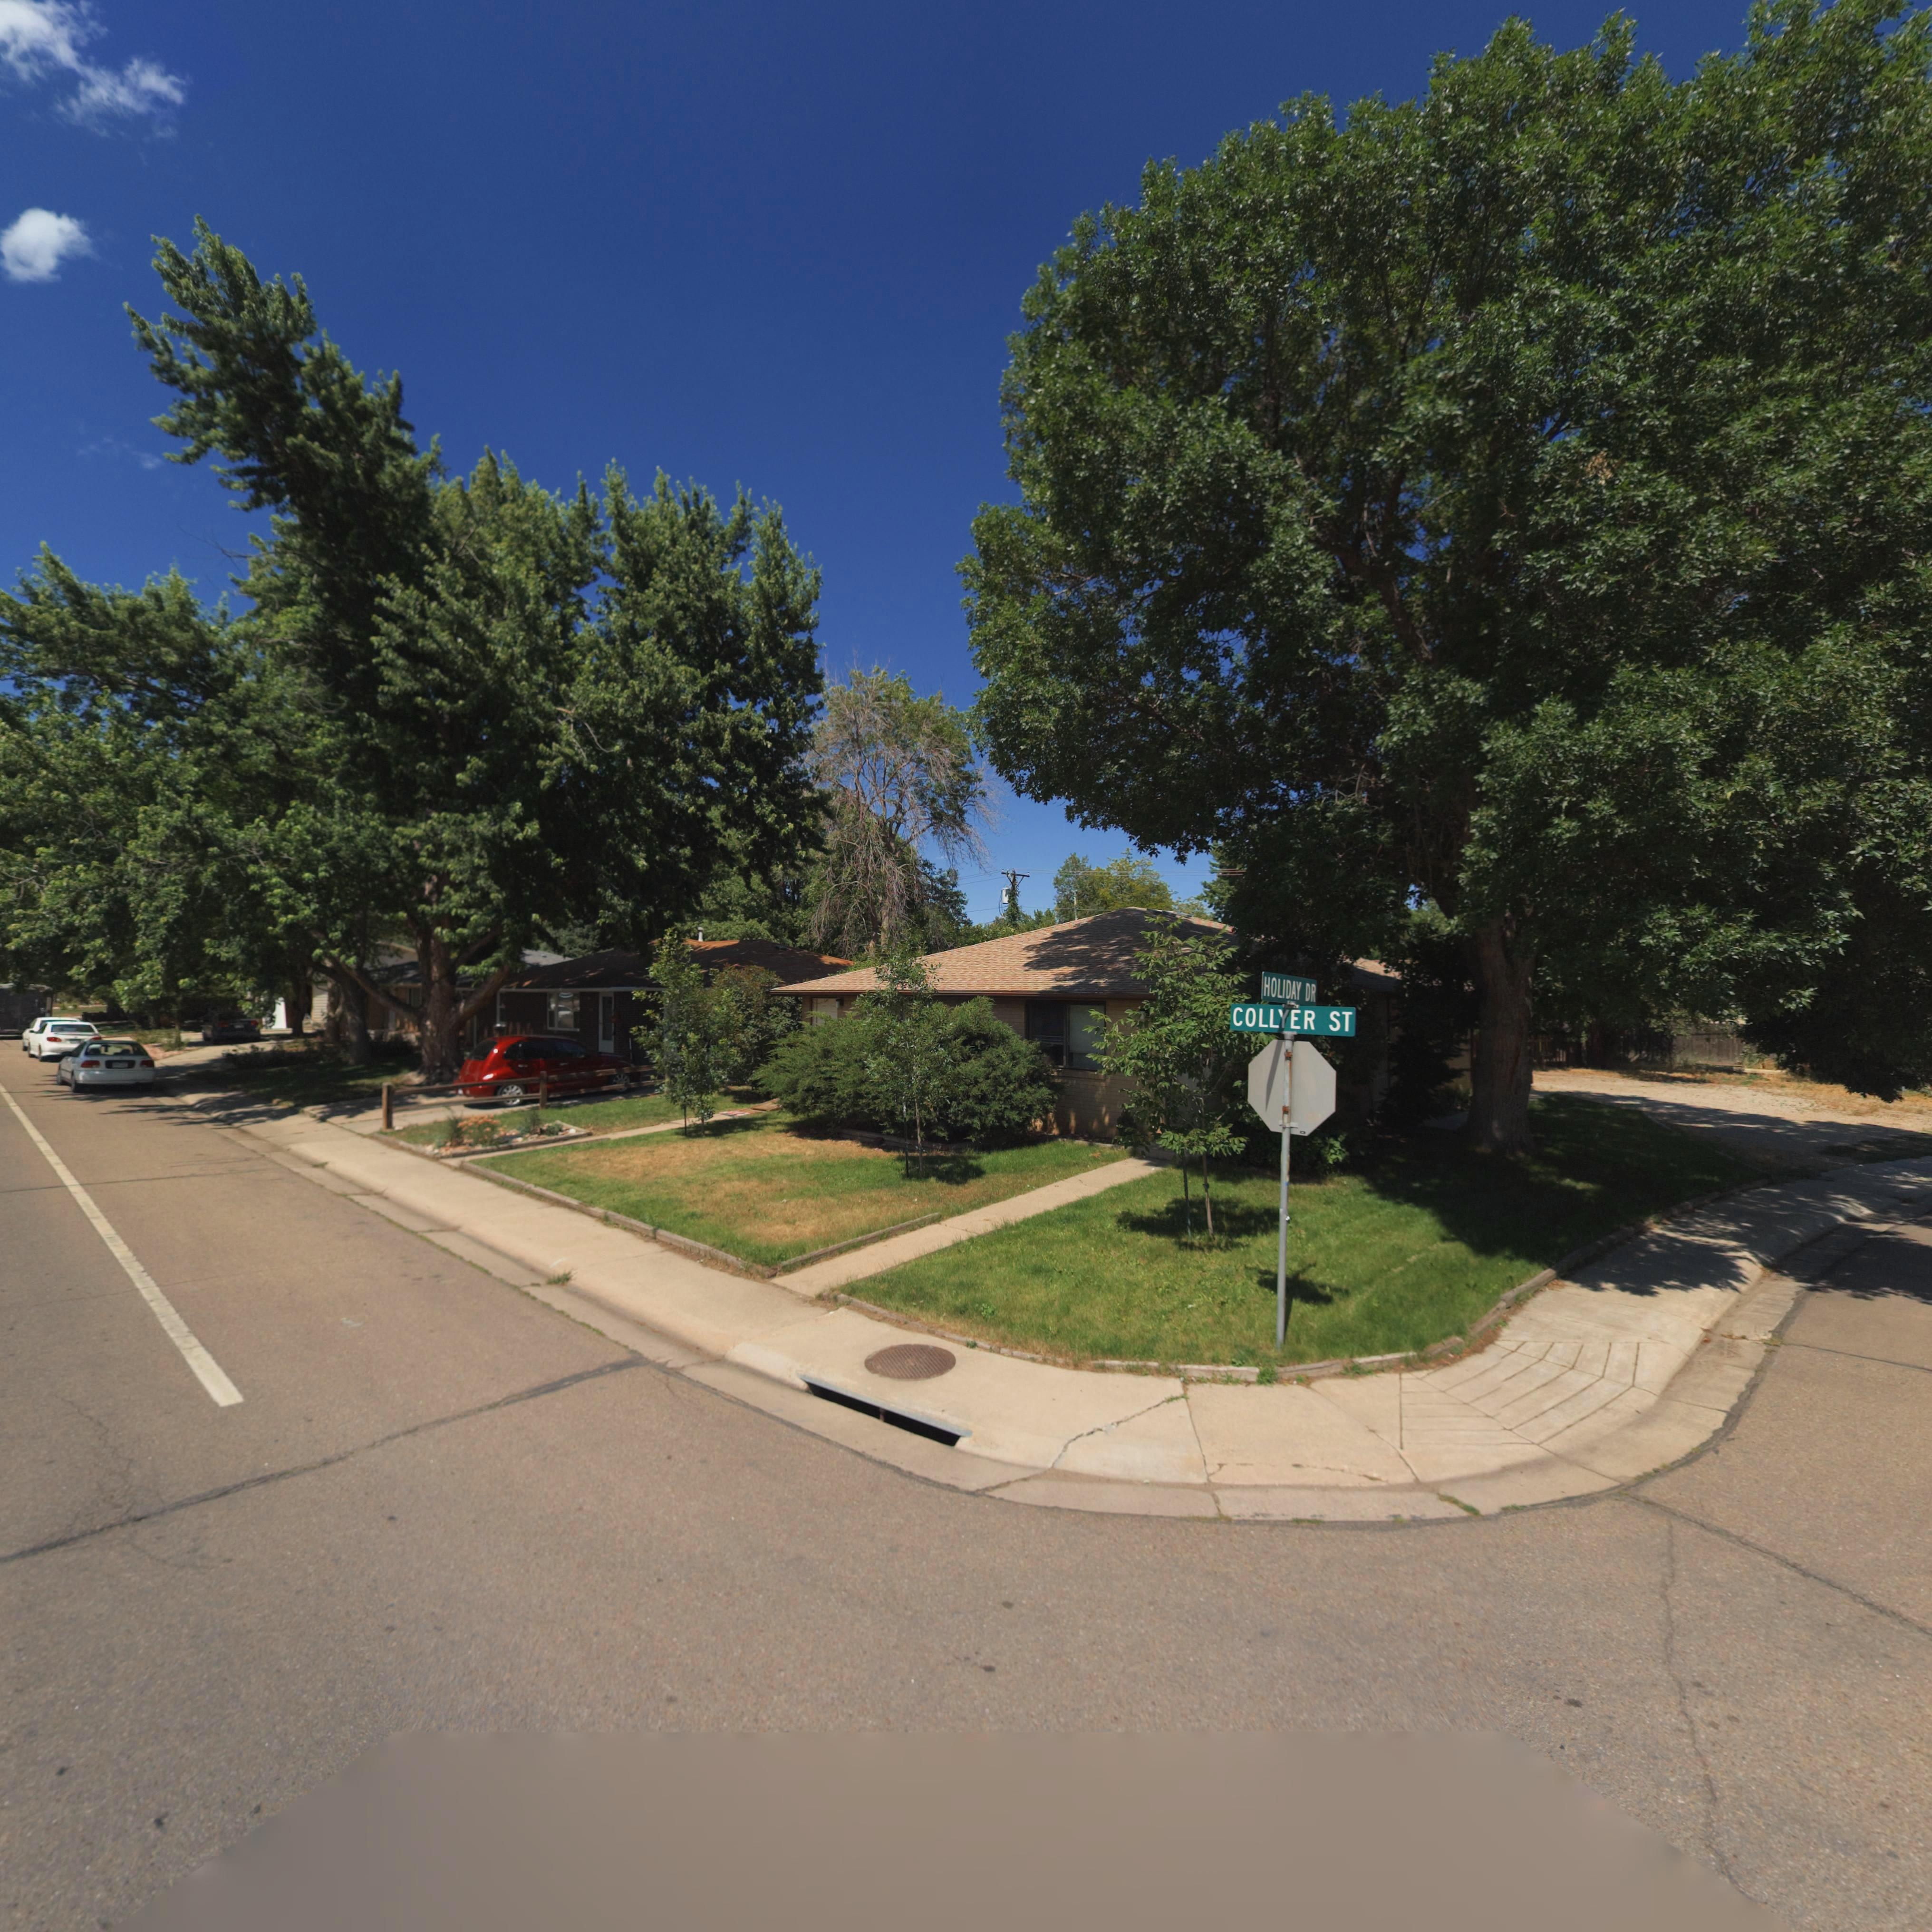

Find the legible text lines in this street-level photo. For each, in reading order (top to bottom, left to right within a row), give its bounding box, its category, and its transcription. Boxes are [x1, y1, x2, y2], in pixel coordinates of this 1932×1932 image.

[1263, 976, 1316, 1003] StreetName: HOLIDAY DR
[1232, 1006, 1353, 1033] StreetName: COLLYER ST